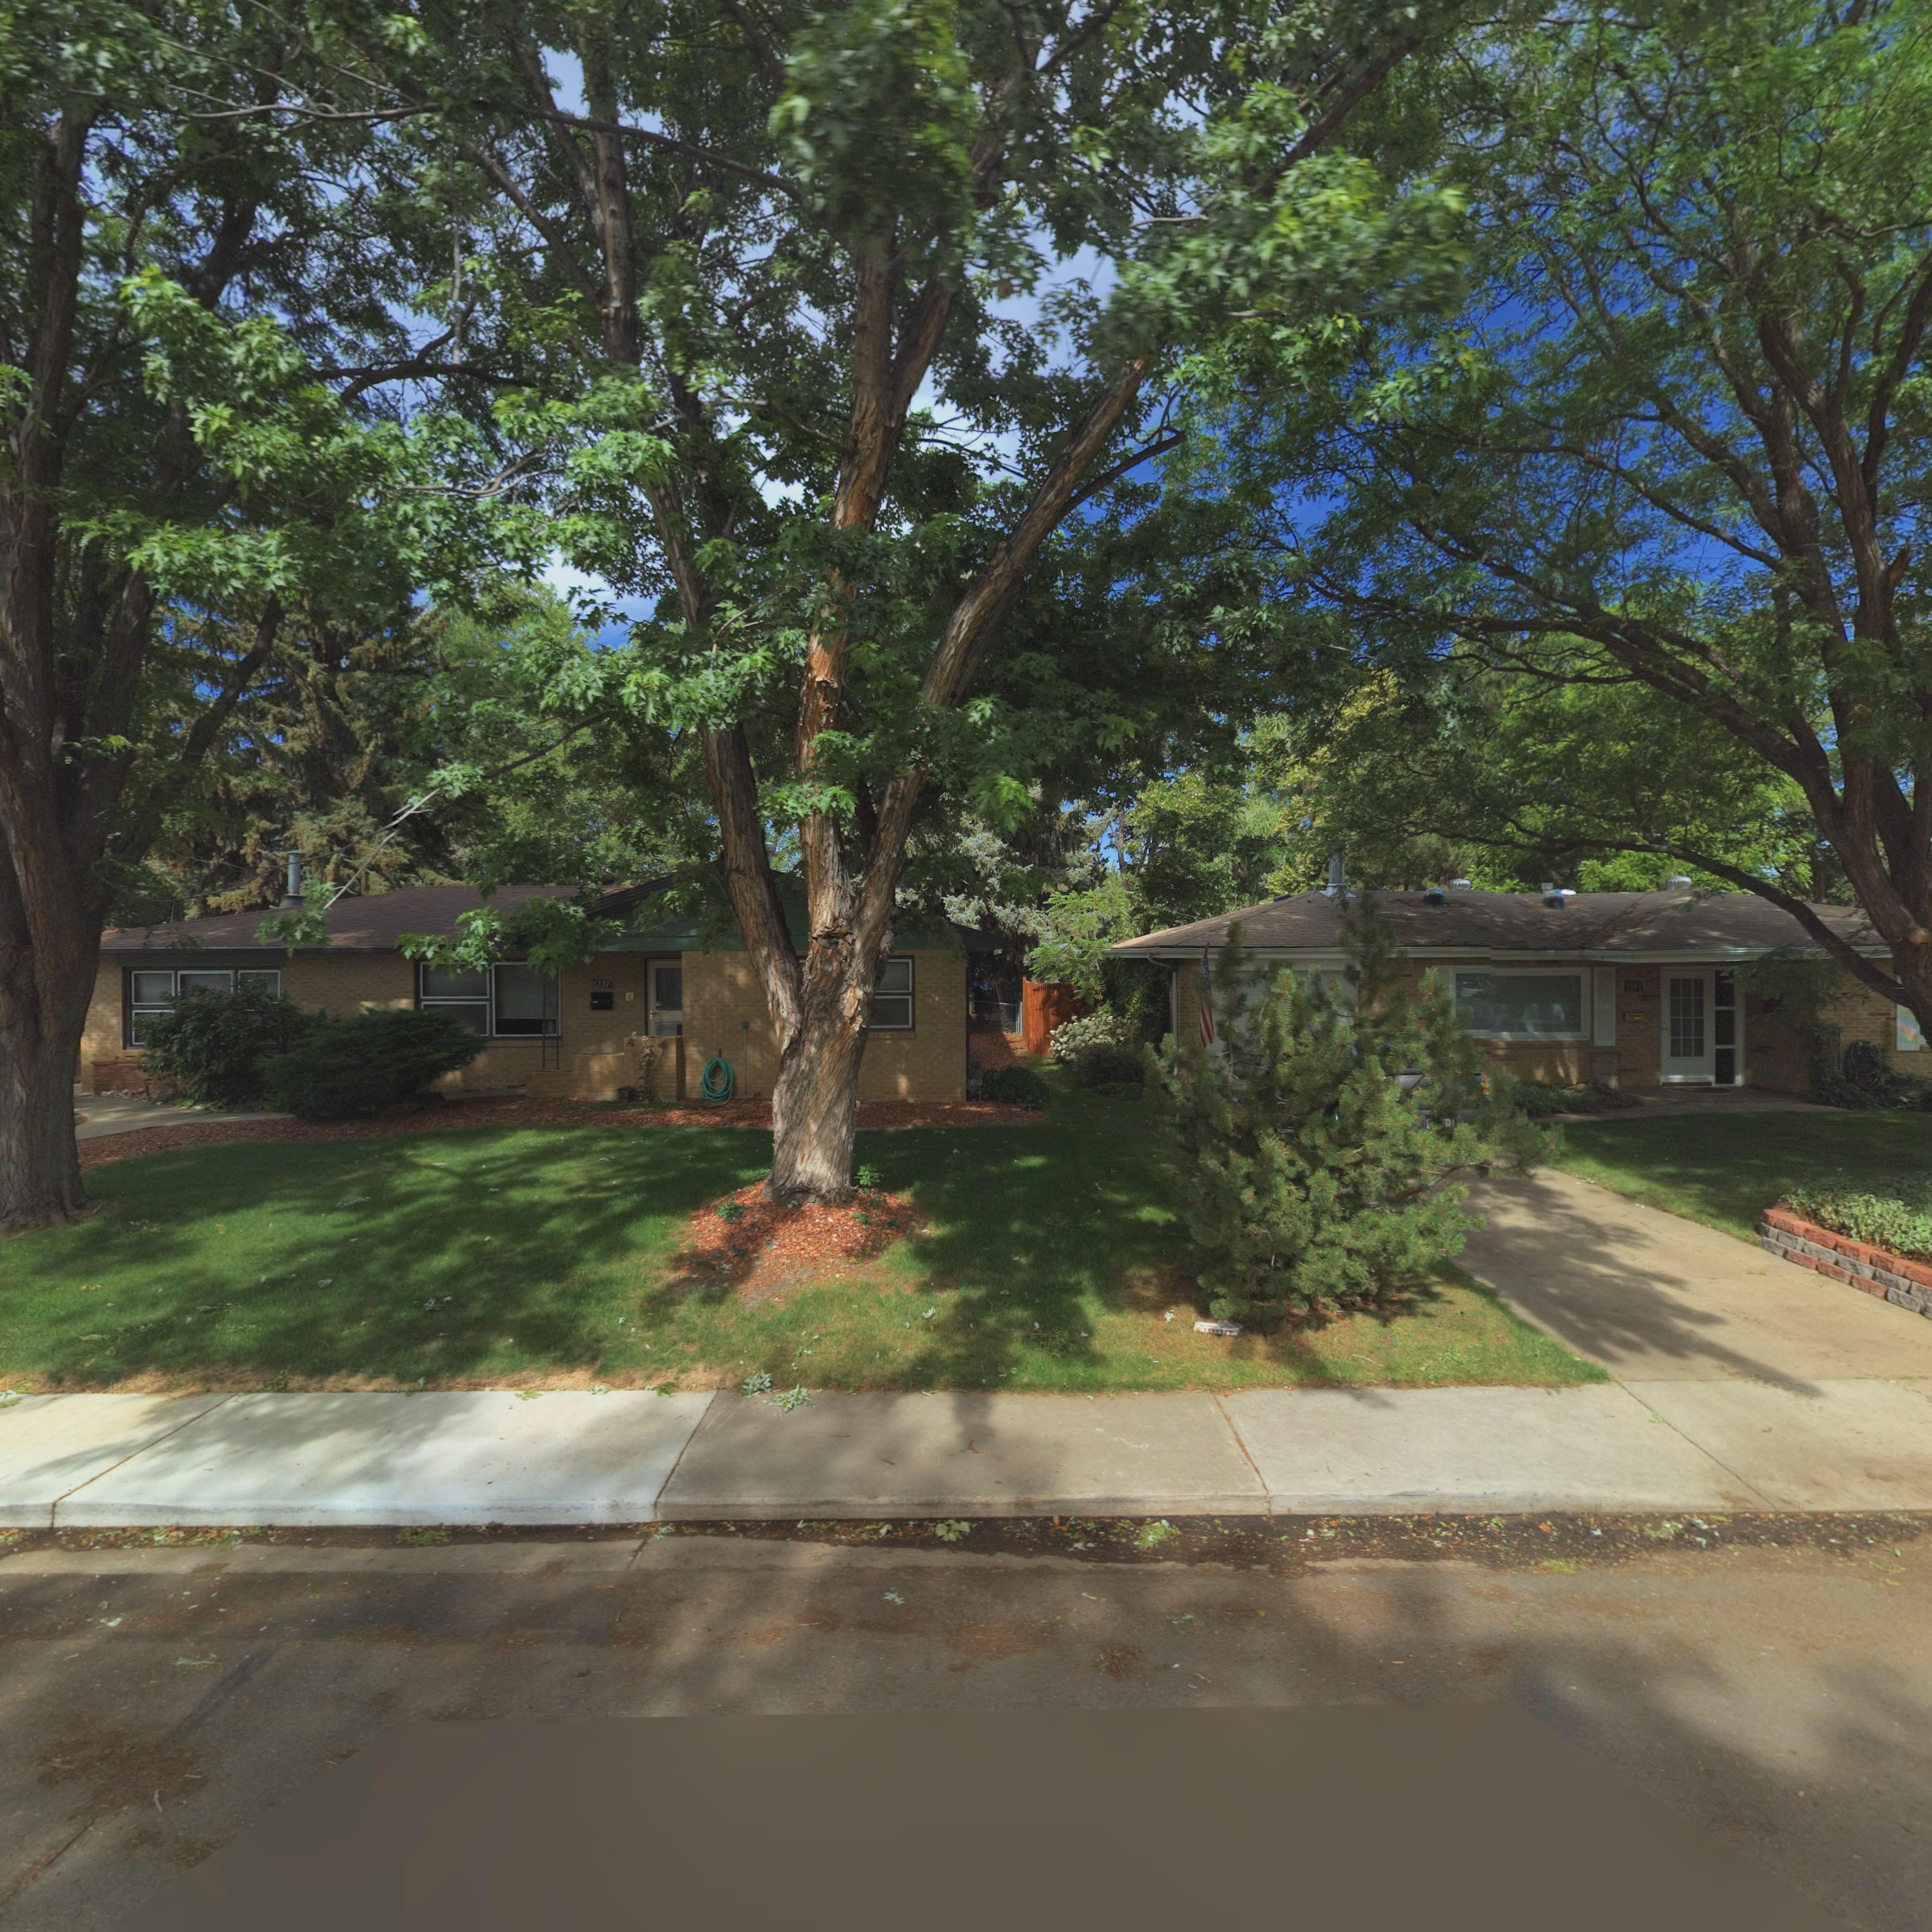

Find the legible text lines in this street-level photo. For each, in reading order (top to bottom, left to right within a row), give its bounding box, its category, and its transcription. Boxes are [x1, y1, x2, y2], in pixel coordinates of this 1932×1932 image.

[592, 979, 610, 988] StreetNumber: 1*37
[1627, 983, 1642, 990] StreetNumber: 1***